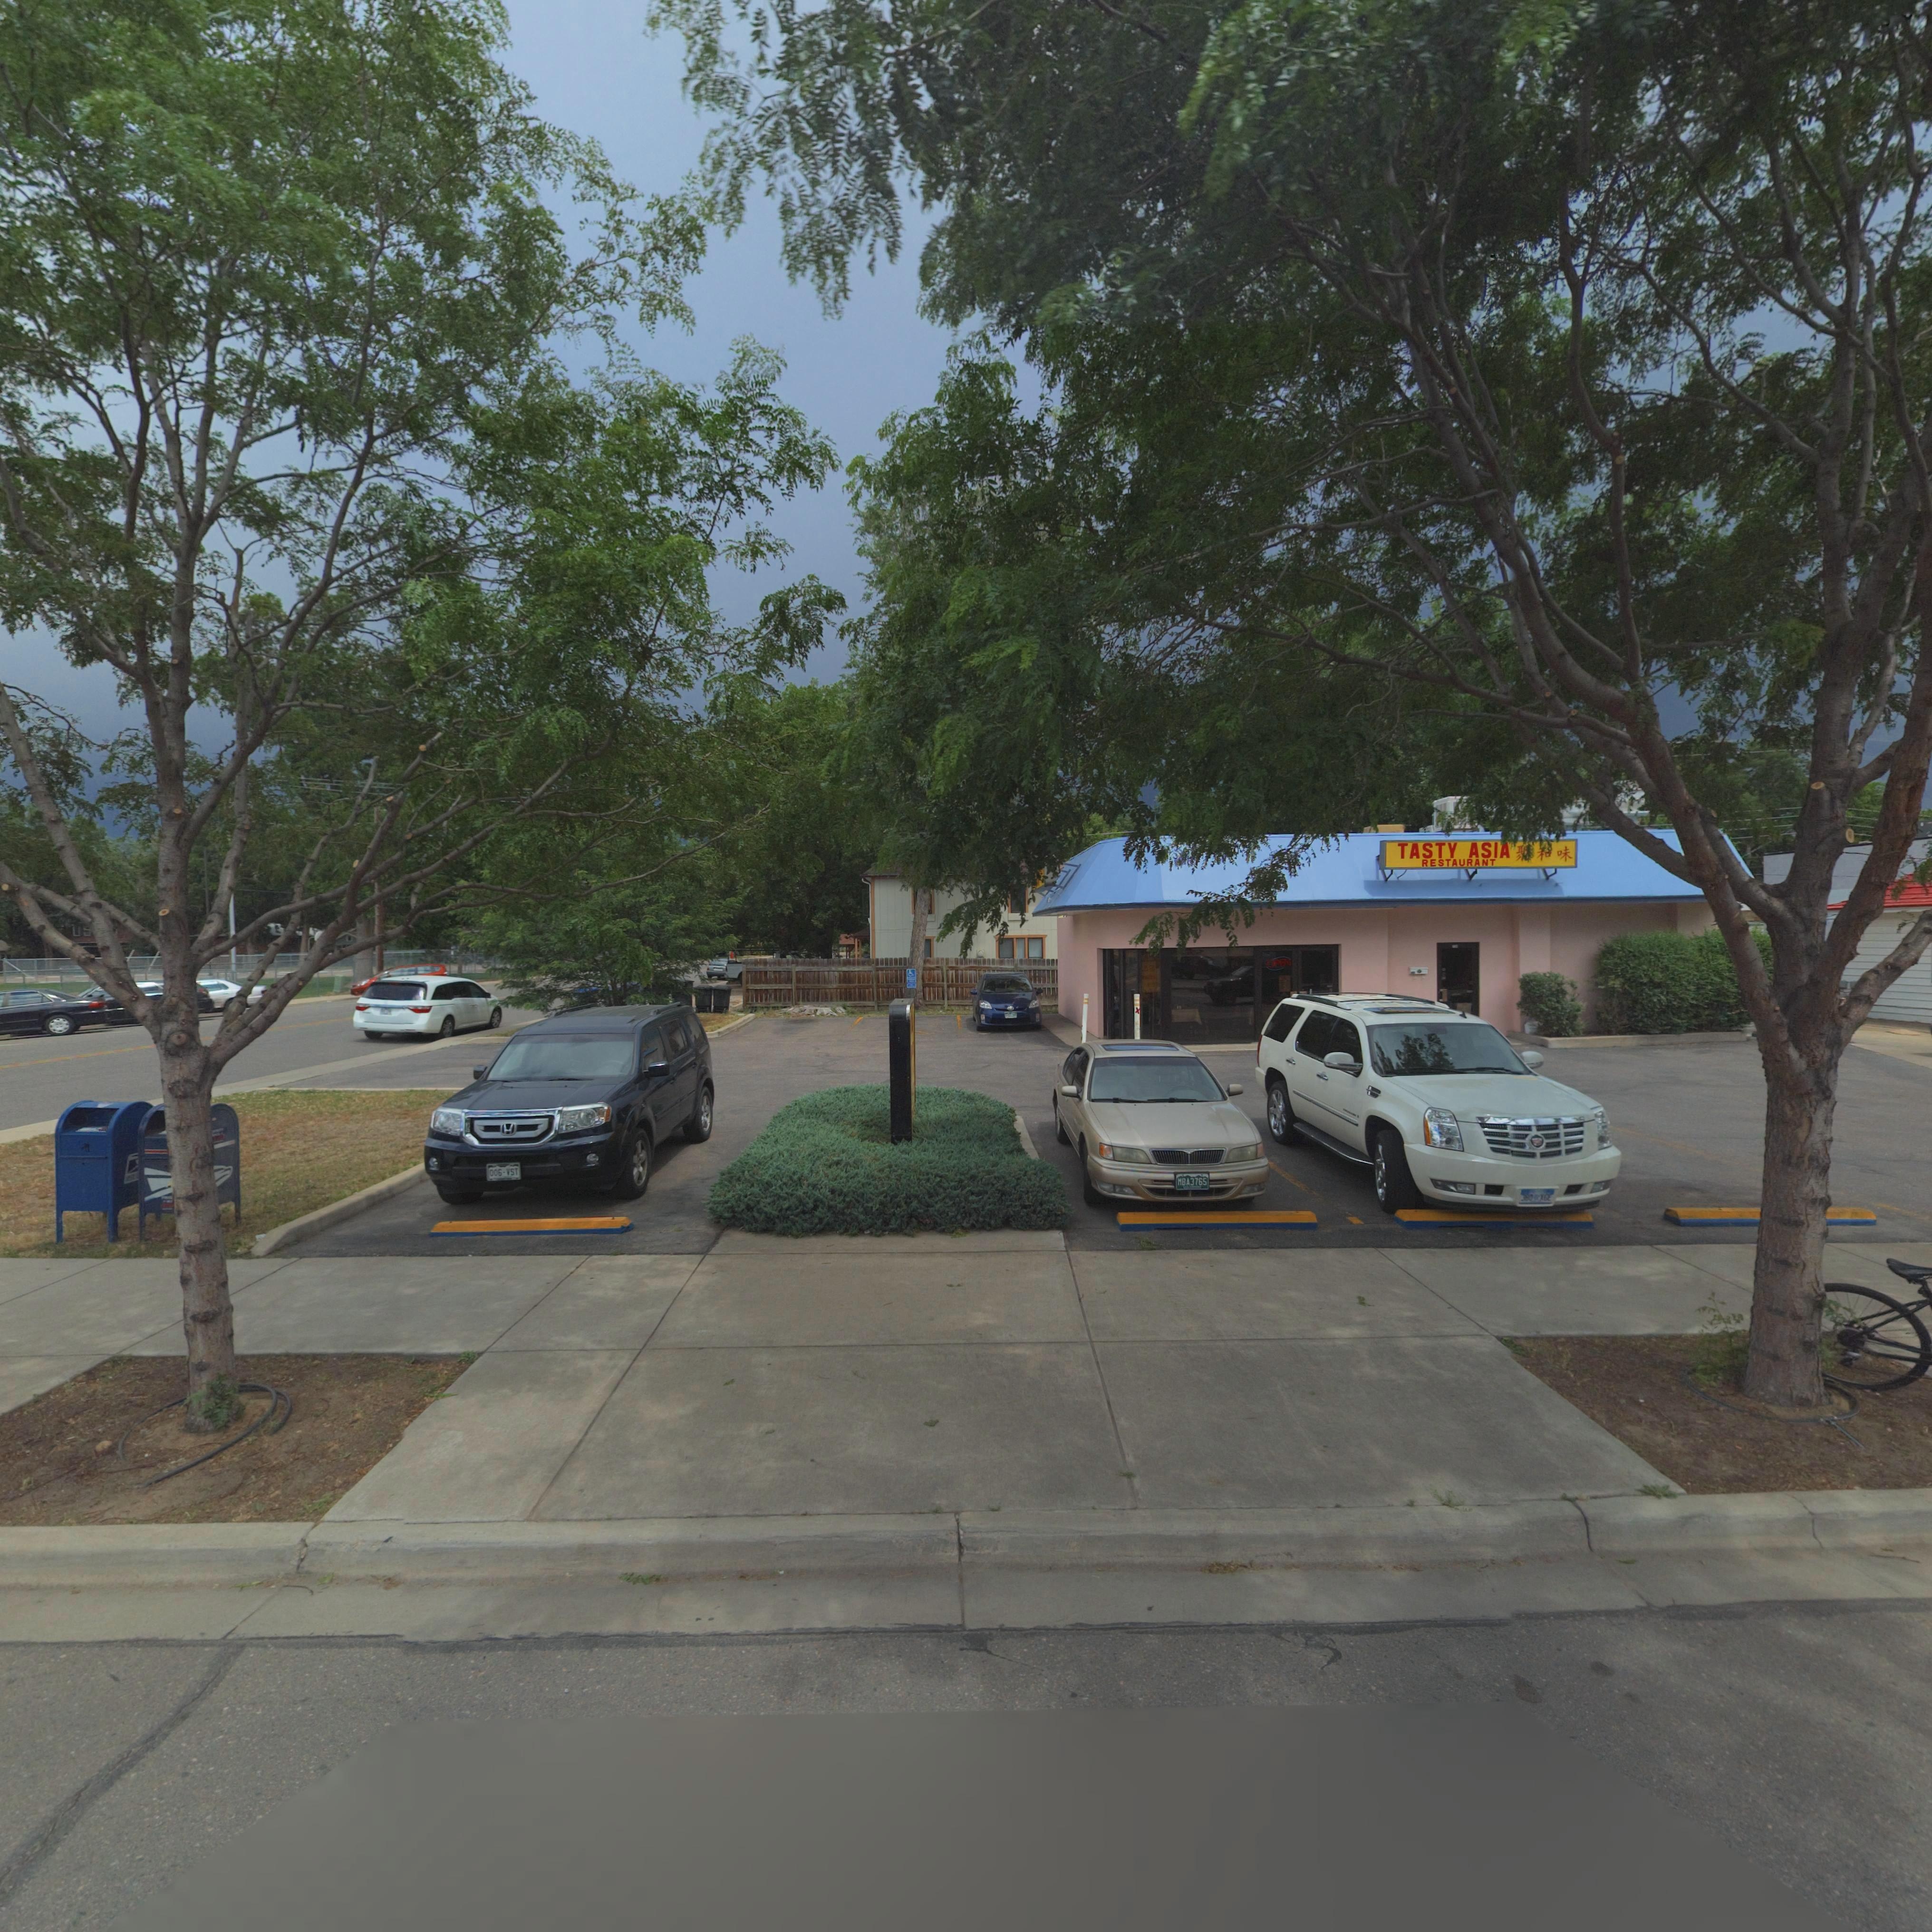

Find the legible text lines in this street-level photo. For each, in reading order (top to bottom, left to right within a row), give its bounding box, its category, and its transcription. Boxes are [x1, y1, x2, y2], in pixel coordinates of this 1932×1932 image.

[1397, 841, 1510, 859] BusinessName: TASTY ASIA
[1421, 859, 1496, 867] BusinessName: RESTAURANT